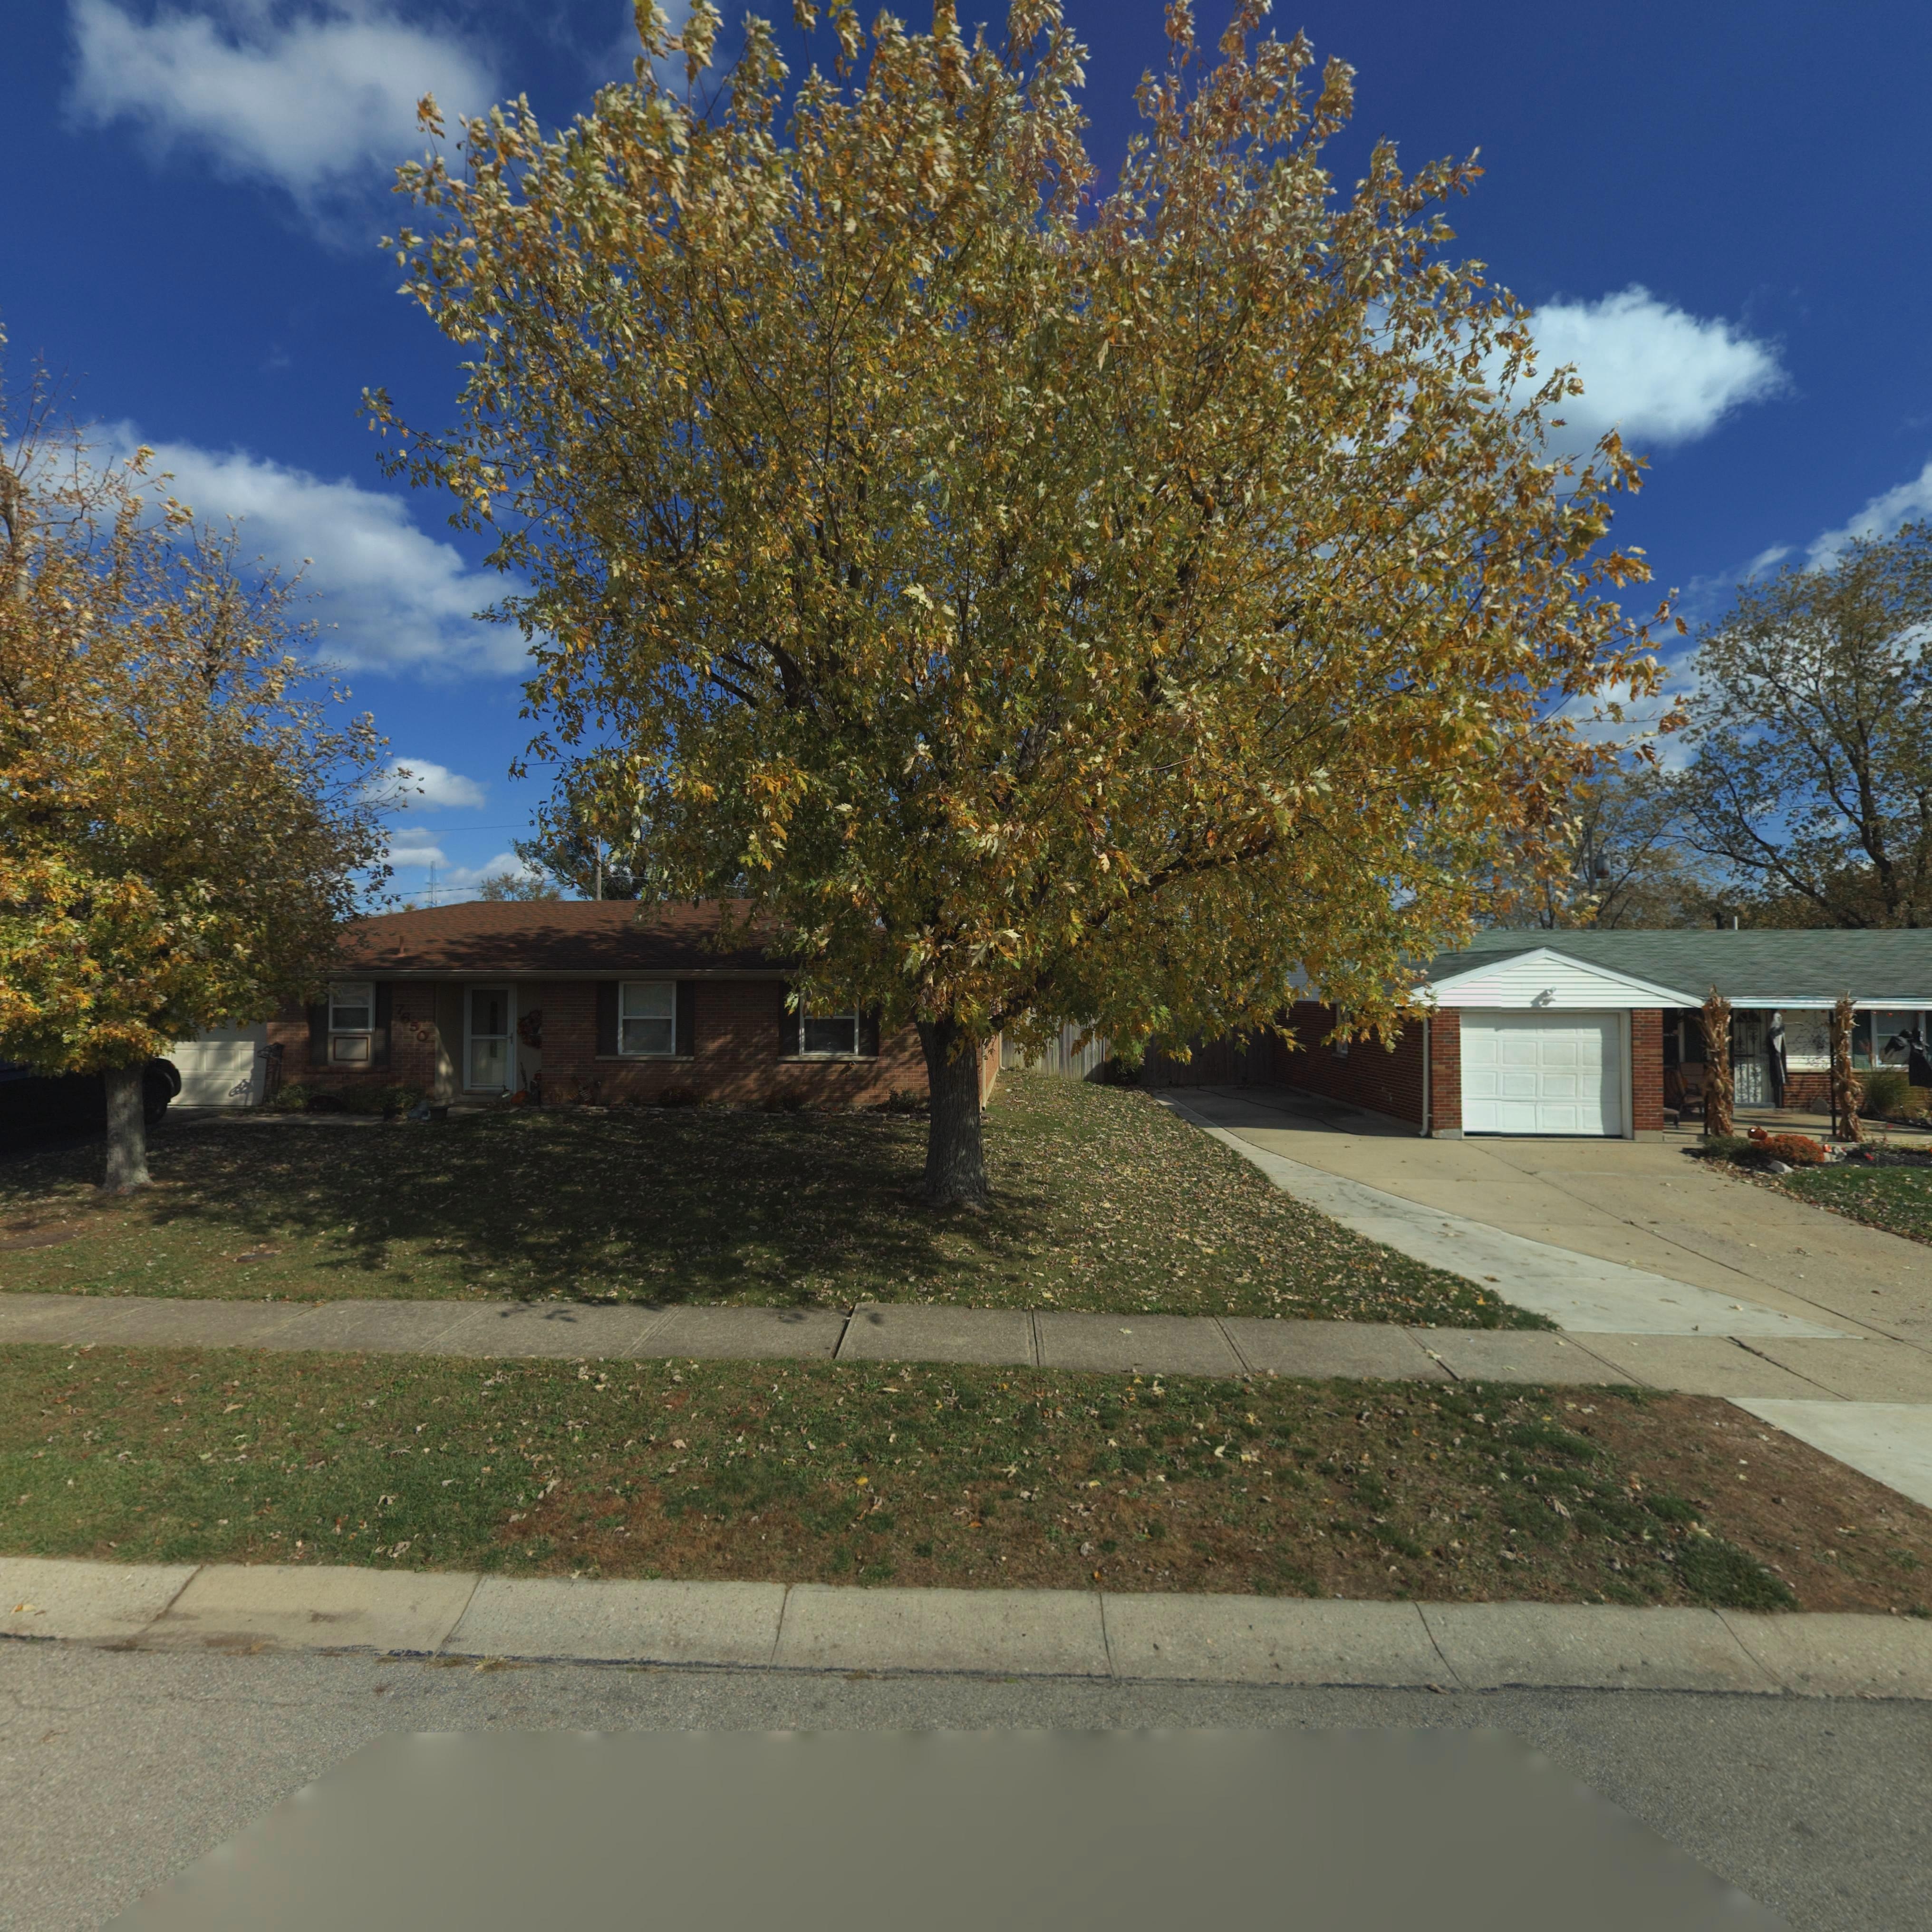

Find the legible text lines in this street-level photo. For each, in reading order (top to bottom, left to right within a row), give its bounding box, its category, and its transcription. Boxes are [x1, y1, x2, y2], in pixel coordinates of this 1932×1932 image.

[394, 1003, 429, 1043] StreetNumber: 7650